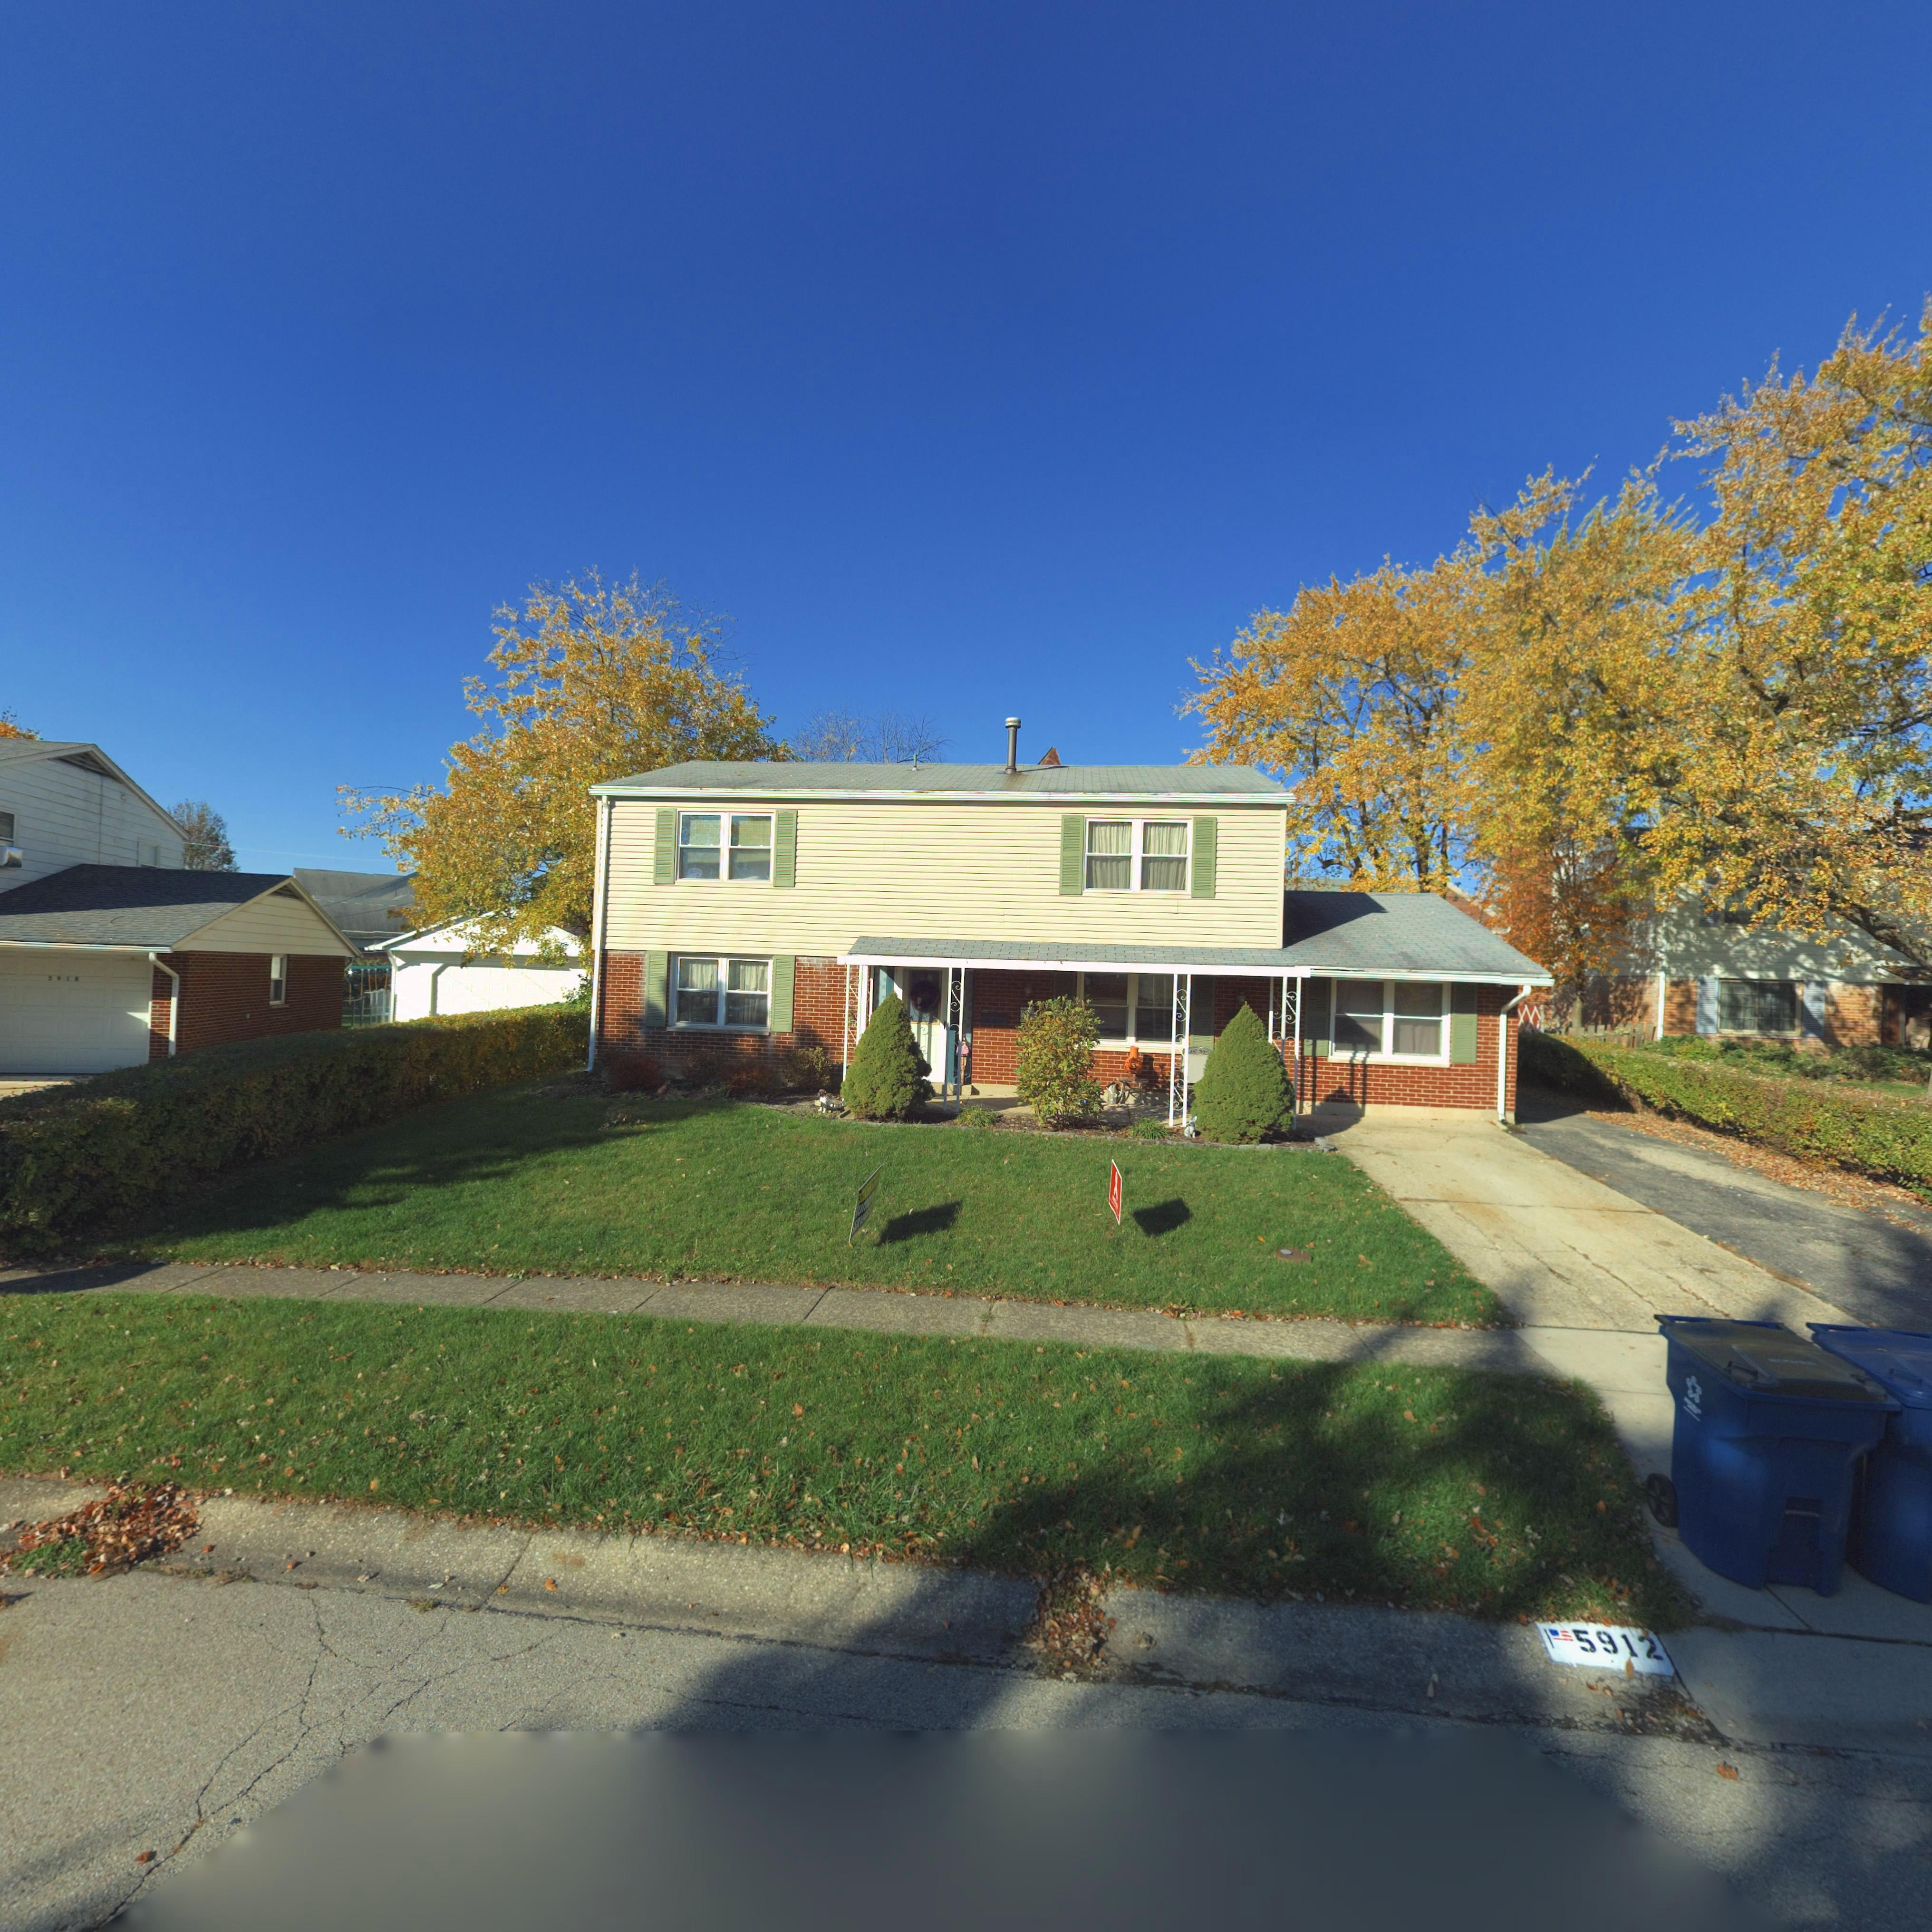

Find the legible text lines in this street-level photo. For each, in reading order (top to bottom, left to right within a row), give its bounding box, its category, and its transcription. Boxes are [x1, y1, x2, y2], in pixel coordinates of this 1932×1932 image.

[47, 975, 81, 983] StreetNumber: *91*
[1569, 1627, 1666, 1662] StreetNumber: 5912